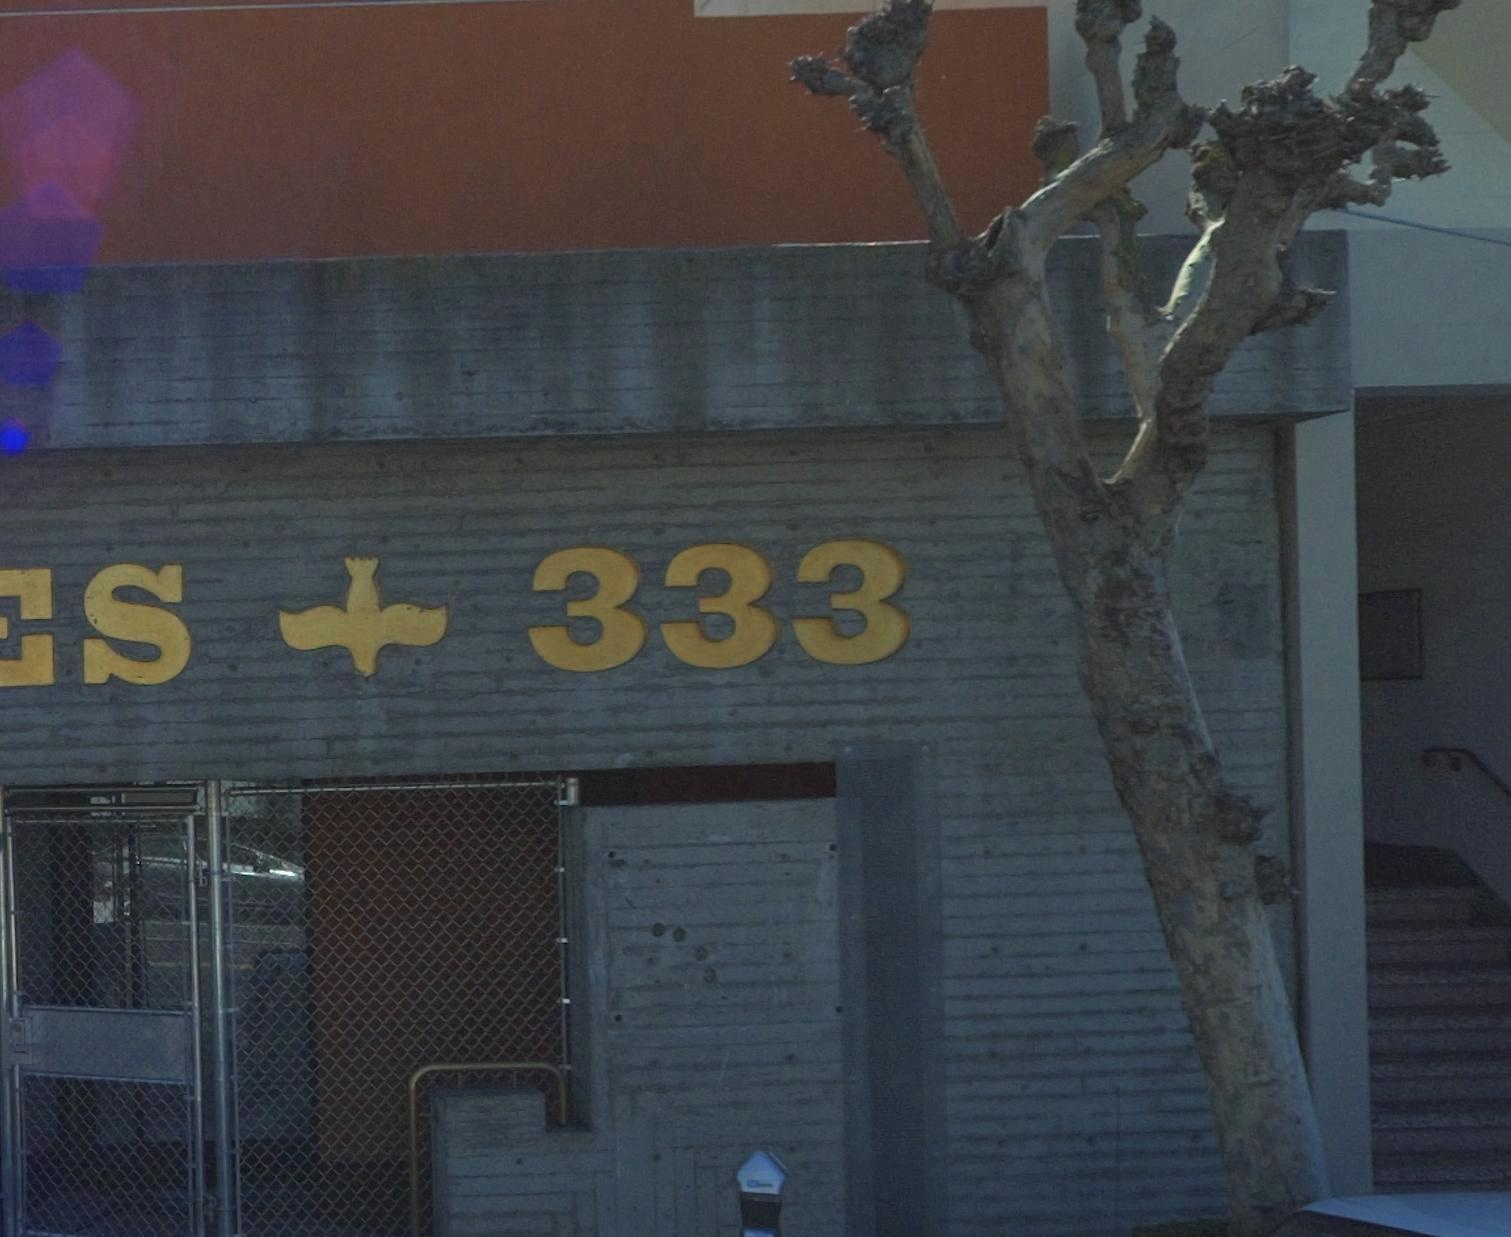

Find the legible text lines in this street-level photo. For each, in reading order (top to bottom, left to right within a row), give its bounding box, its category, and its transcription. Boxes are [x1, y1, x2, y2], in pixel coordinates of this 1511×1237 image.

[81, 559, 192, 686] None: S
[522, 543, 911, 673] StreetNumber: 333